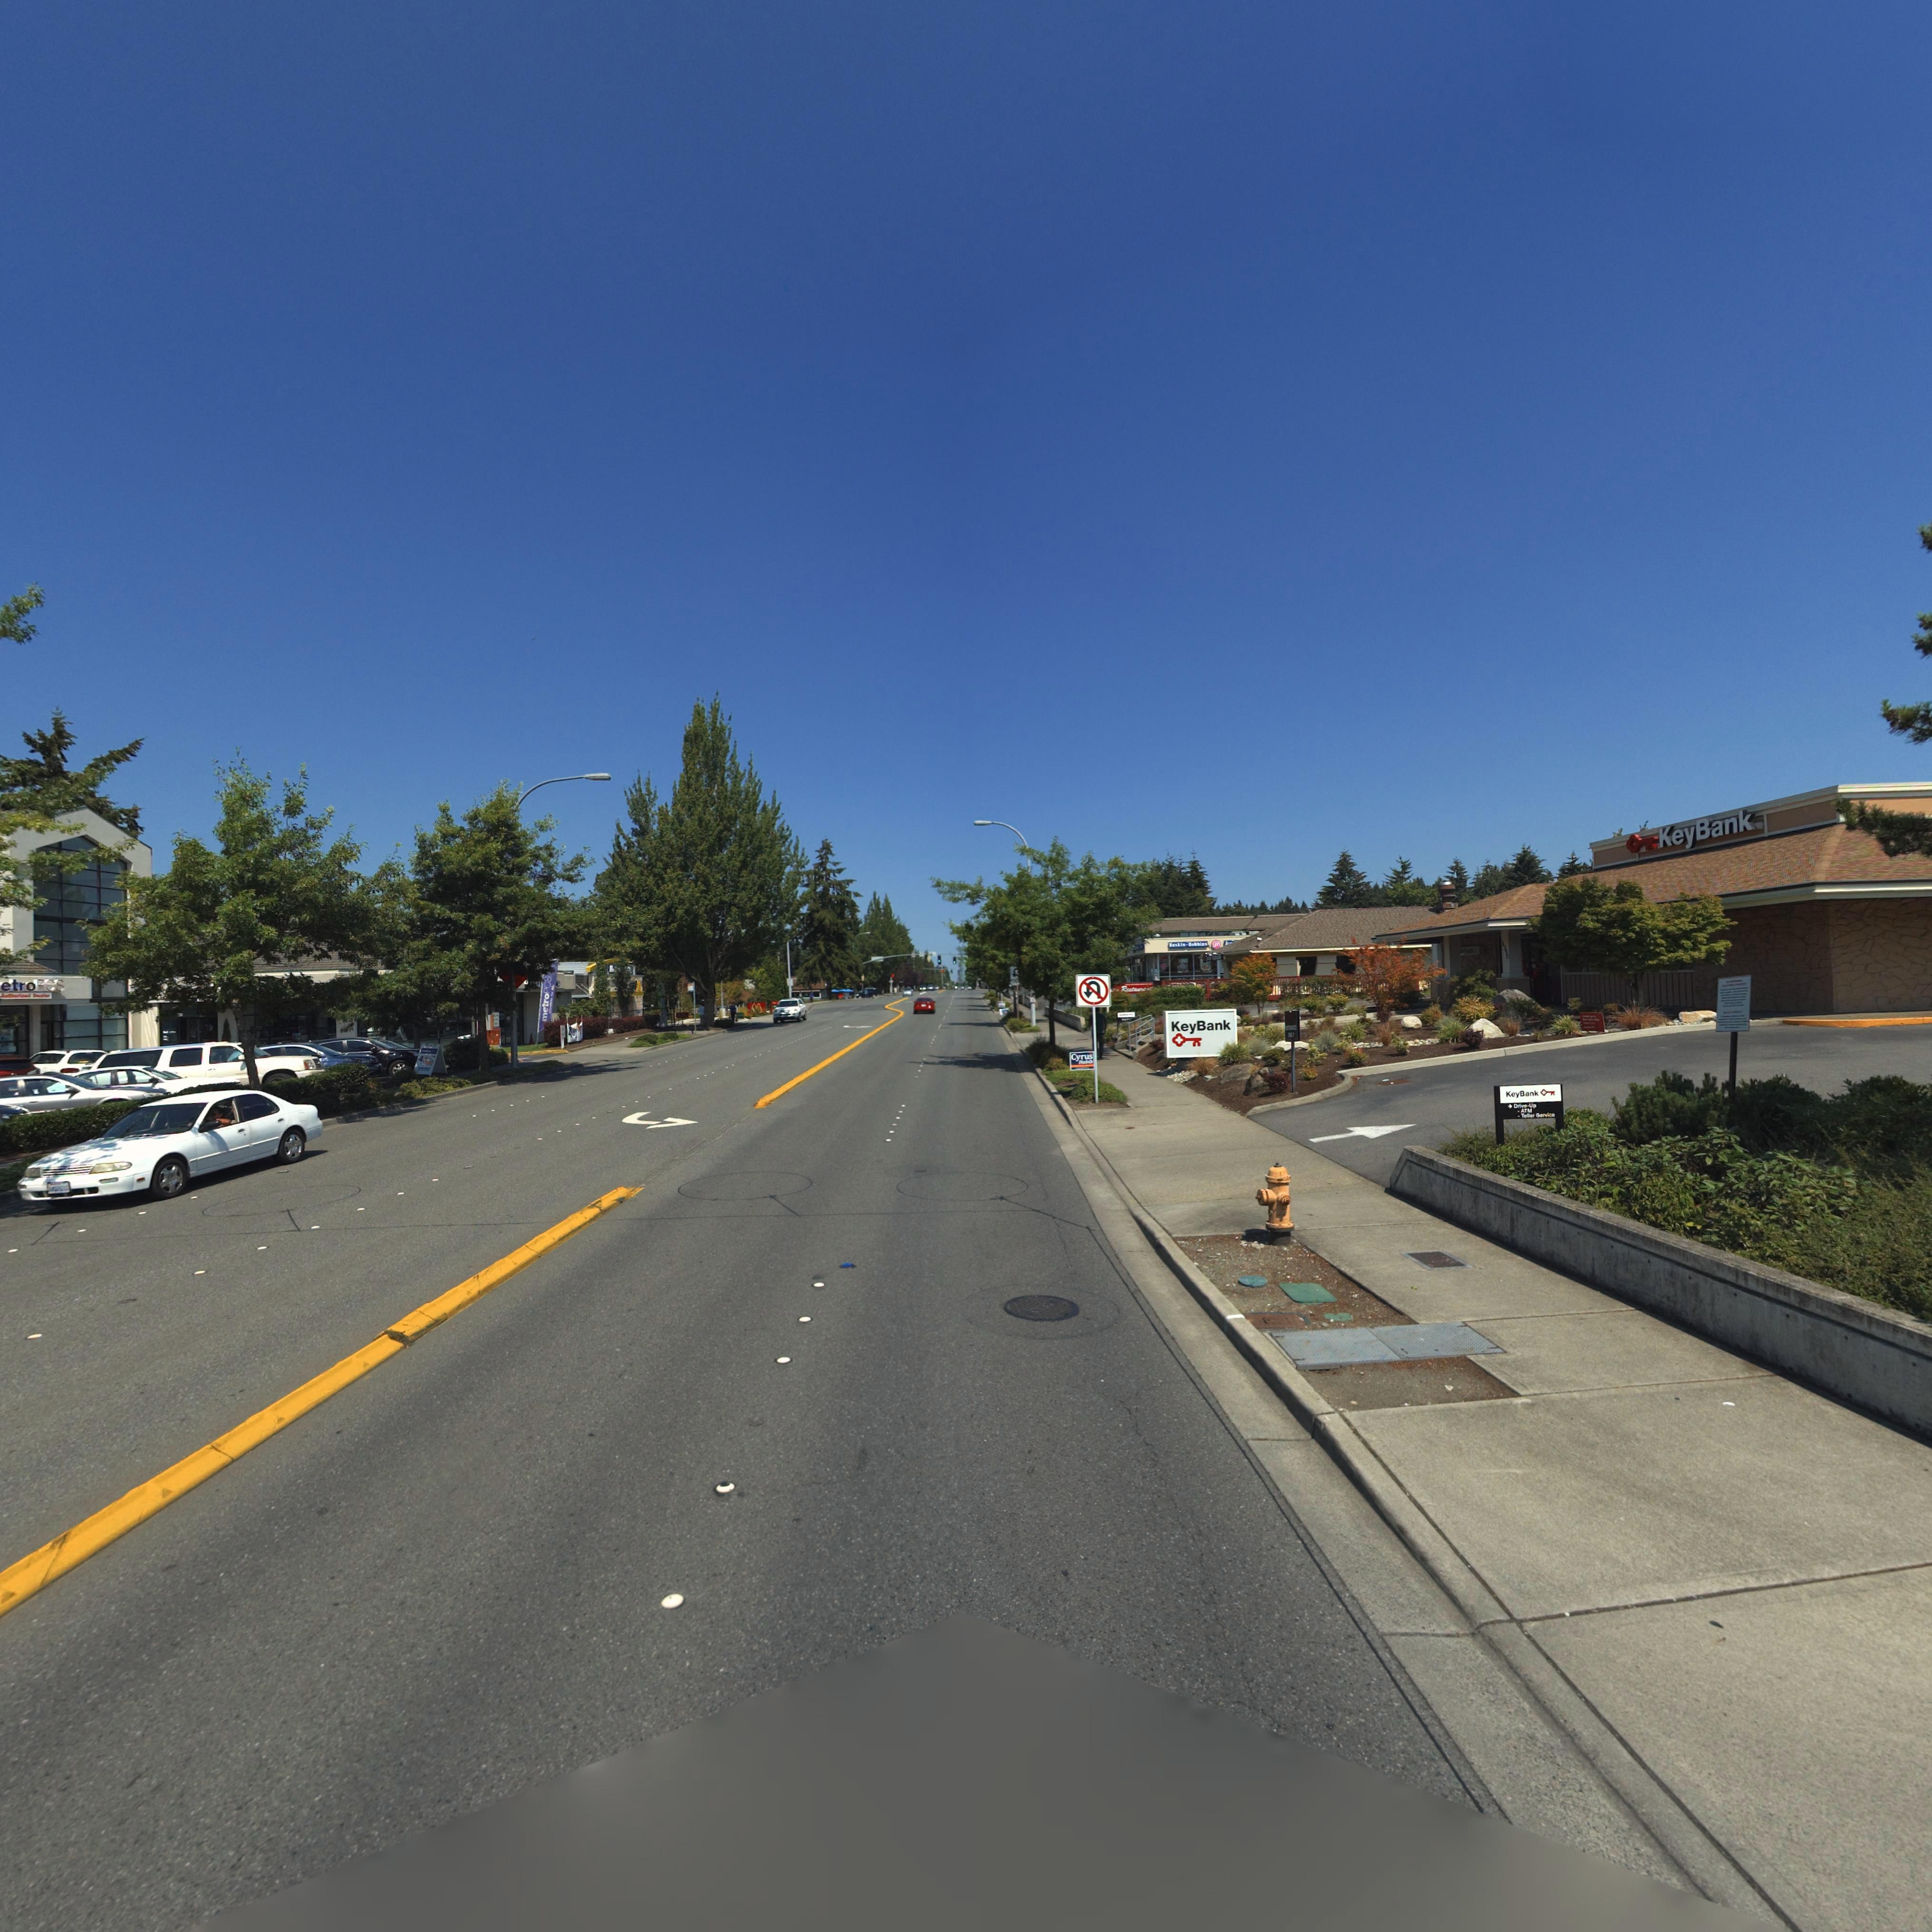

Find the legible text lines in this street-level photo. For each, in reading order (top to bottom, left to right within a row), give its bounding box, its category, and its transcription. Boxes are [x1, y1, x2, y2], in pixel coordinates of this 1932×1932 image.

[1659, 809, 1756, 849] BusinessName: KeyBank
[1, 978, 64, 992] BusinessName: etroPCS
[1171, 1019, 1232, 1034] BusinessName: KeyBank
[1505, 1090, 1538, 1099] BusinessName: KeyBank